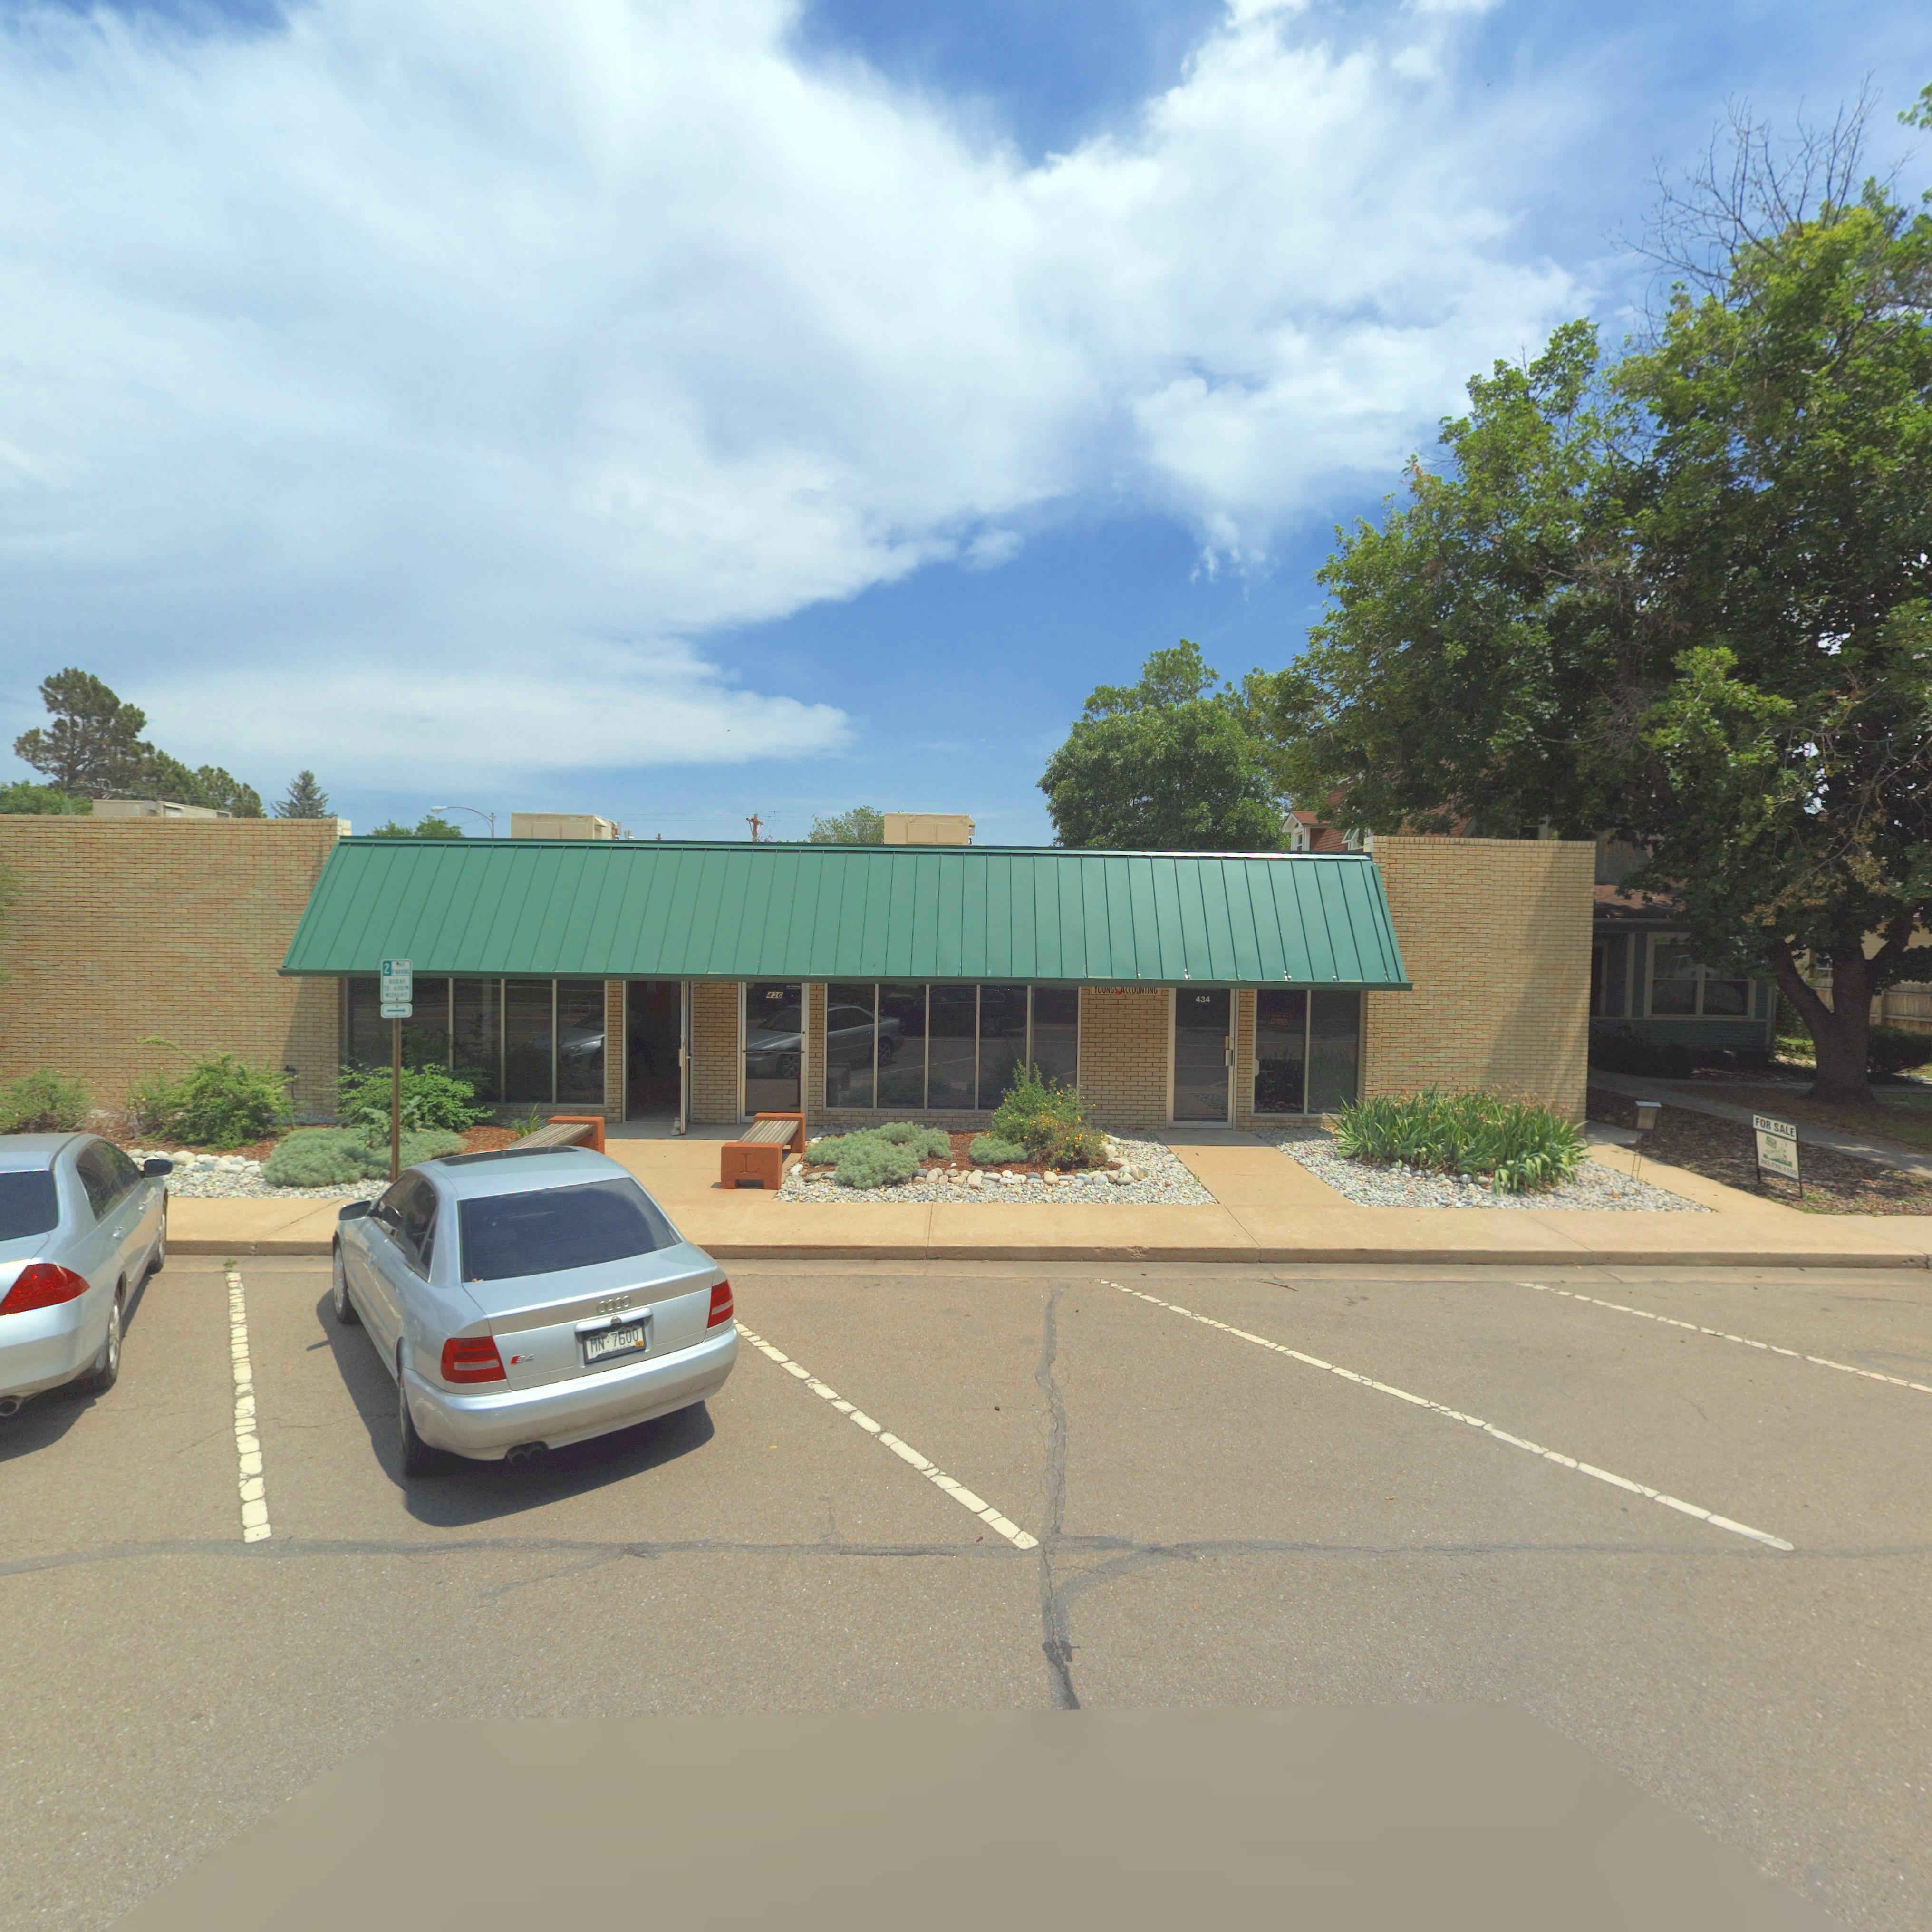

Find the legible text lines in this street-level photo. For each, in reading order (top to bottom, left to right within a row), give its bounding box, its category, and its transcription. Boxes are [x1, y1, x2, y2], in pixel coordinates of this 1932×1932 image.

[1094, 985, 1158, 994] BusinessName: *OUNGS ACCOUN*ING
[766, 992, 782, 998] StreetNumber: 436
[1195, 995, 1210, 1002] StreetNumber: 434